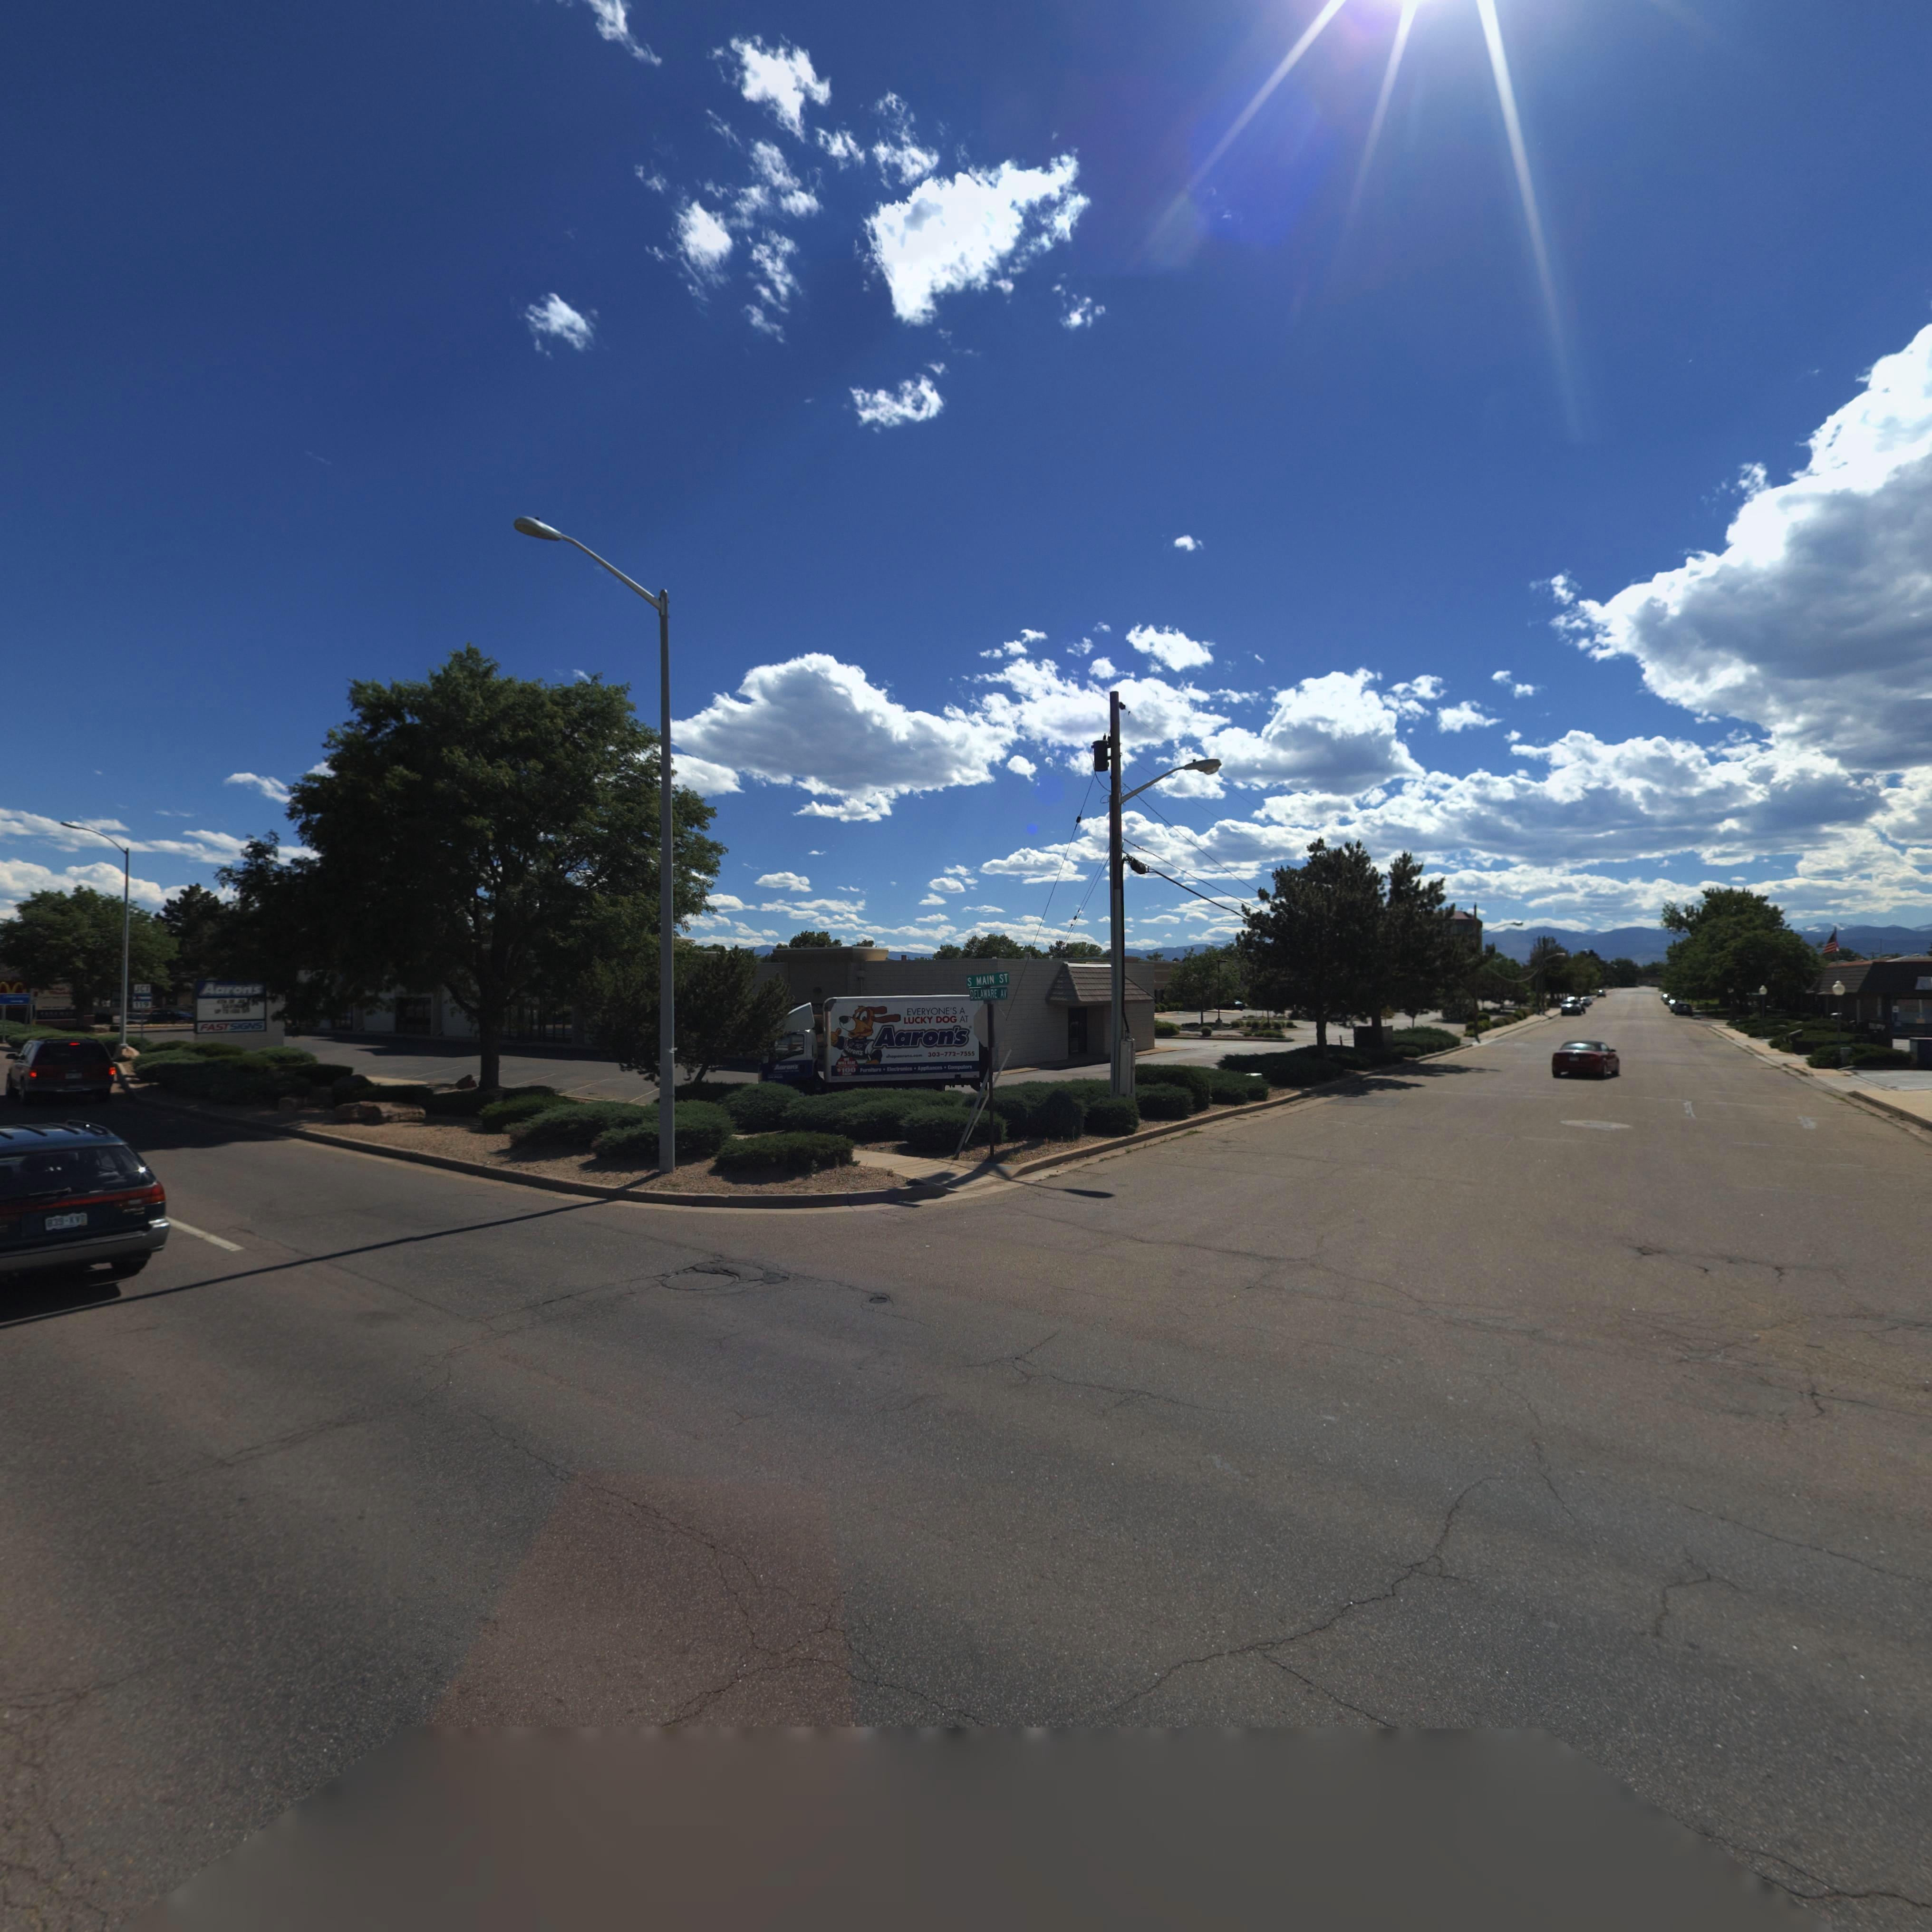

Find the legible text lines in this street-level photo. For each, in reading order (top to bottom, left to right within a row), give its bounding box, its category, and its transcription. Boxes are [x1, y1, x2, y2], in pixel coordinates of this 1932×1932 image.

[967, 973, 1008, 986] StreetName: S MAIN ST
[201, 983, 261, 995] BusinessName: Aarons
[970, 988, 1007, 999] StreetName: DELAWARE AV
[199, 1021, 263, 1031] BusinessName: FASTSIGNS